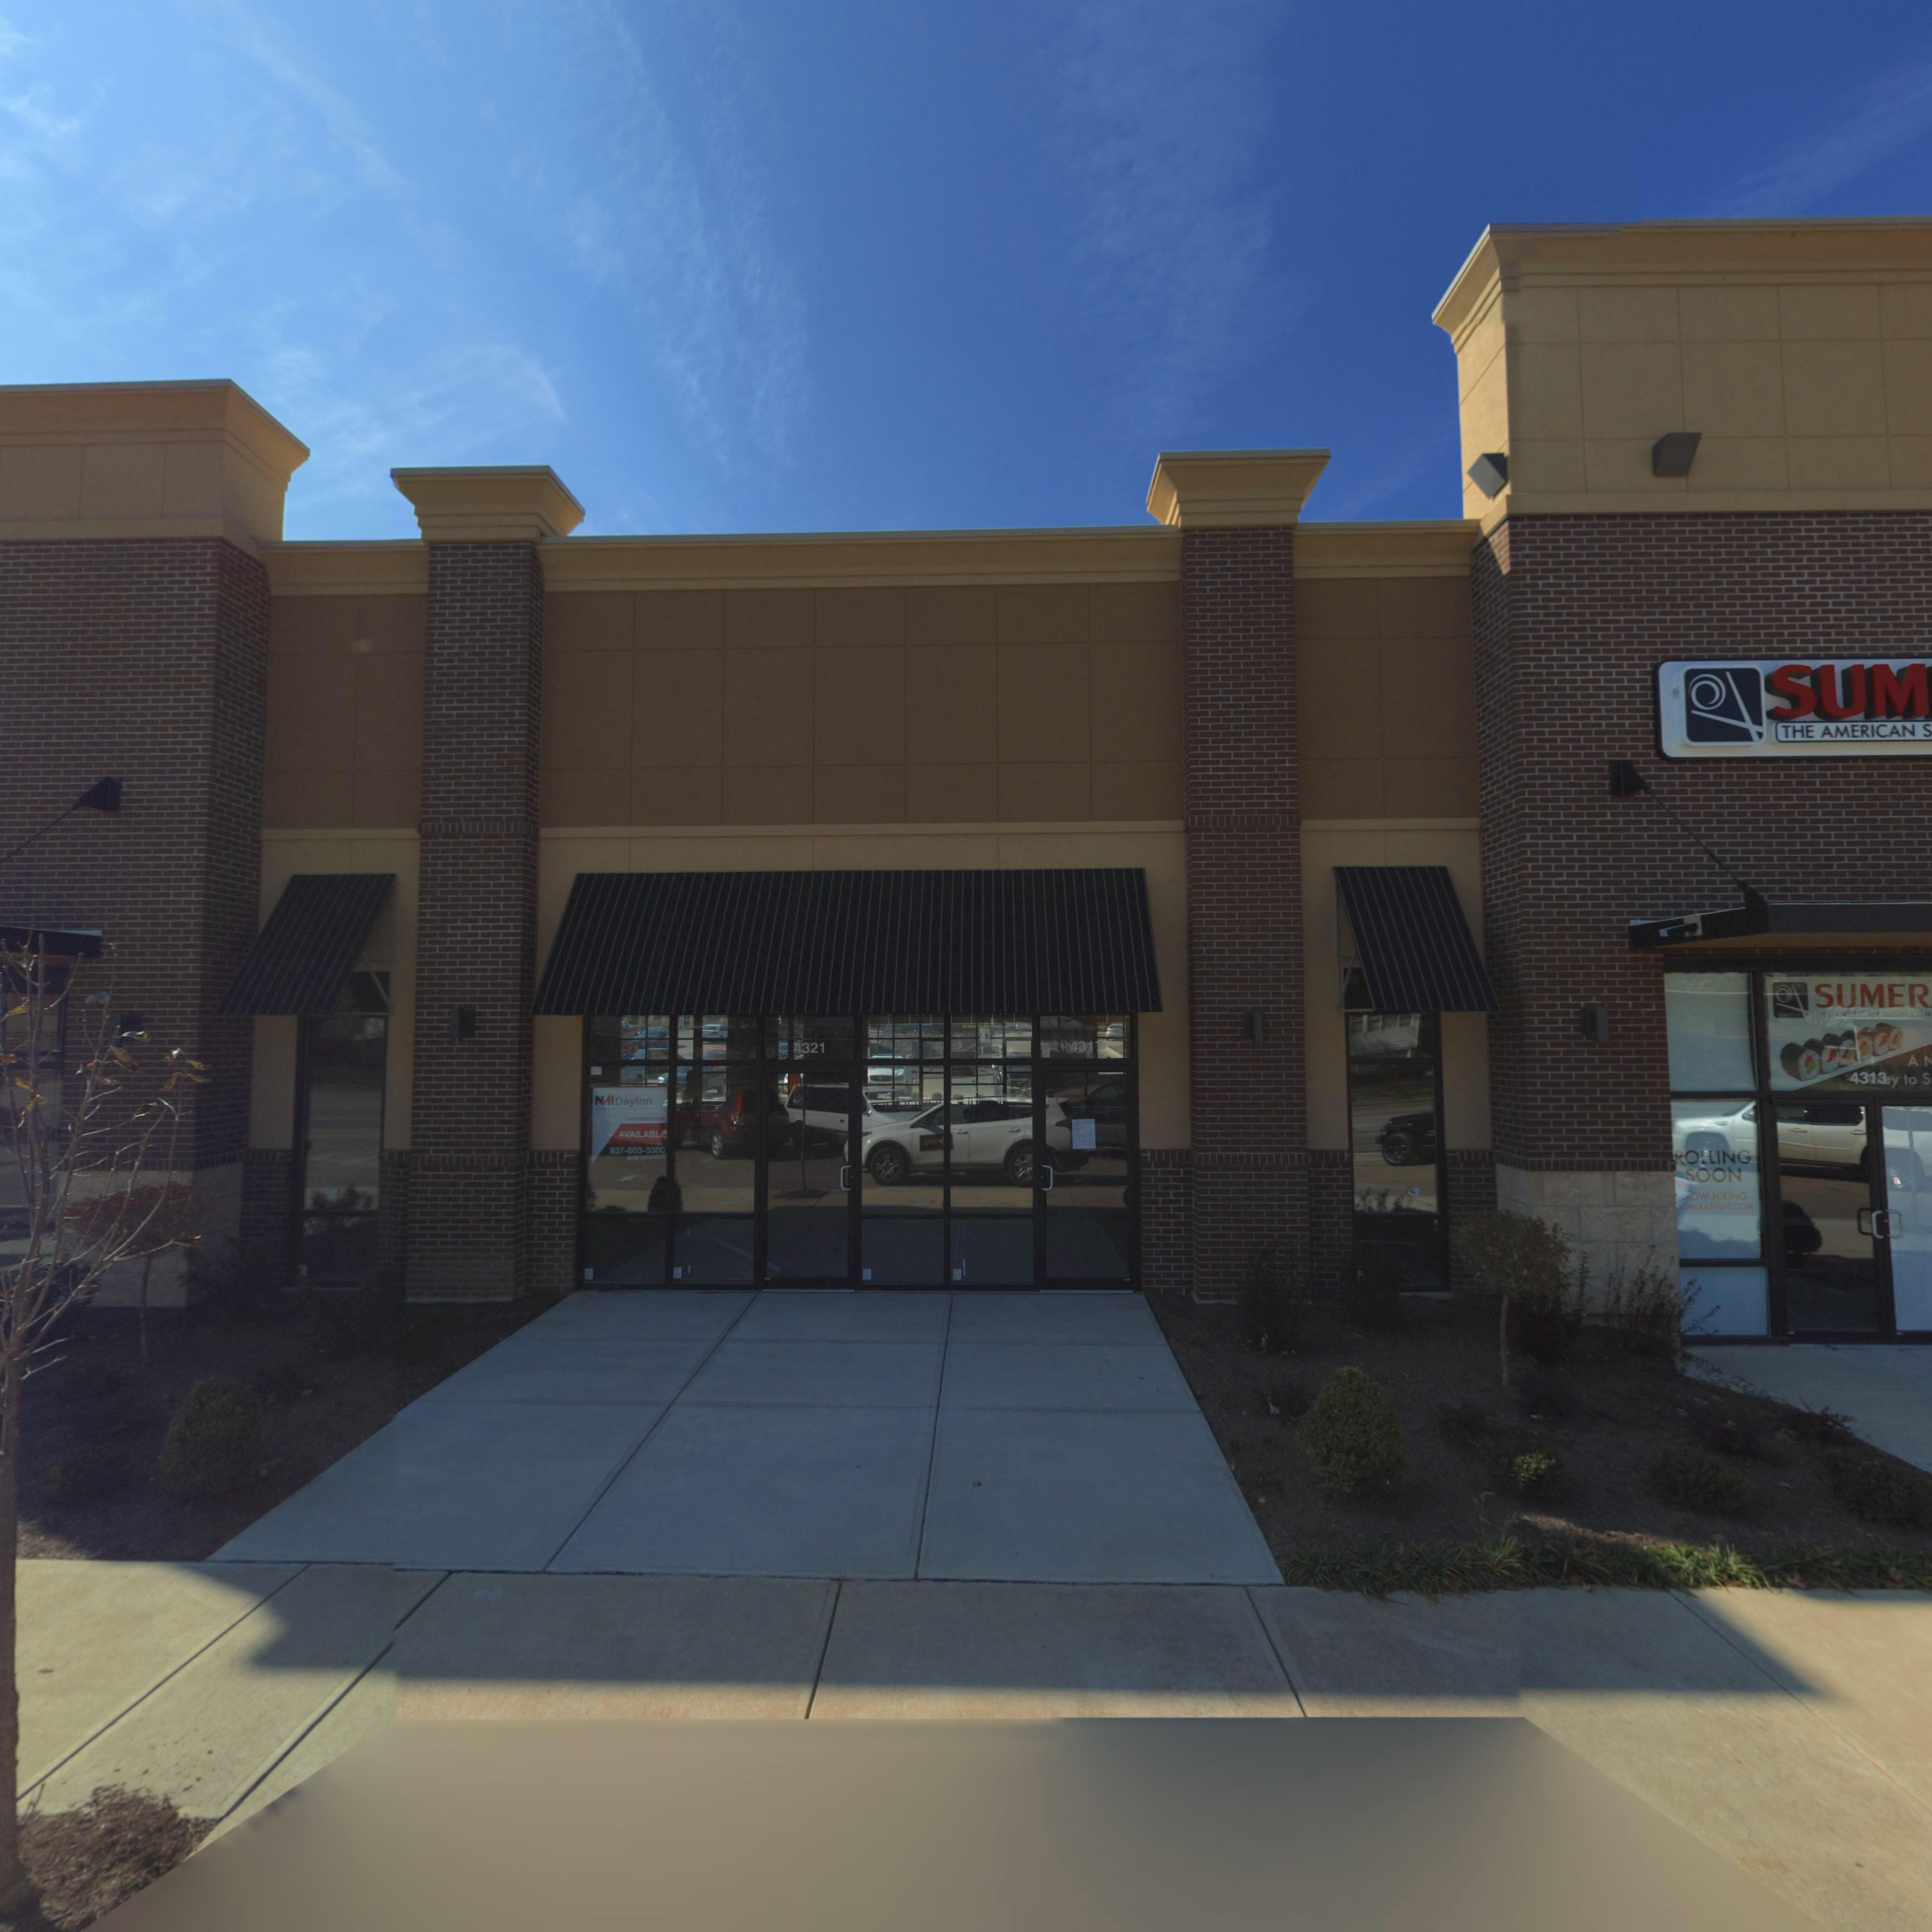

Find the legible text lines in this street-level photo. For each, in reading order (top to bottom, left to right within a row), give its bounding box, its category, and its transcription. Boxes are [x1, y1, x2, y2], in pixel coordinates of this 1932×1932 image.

[1770, 661, 1930, 720] BusinessName: SUM
[1778, 723, 1932, 740] BusinessName: THE AMERICAN S
[1814, 982, 1932, 1009] BusinessName: SUMER
[1881, 1009, 1925, 1018] BusinessName: SUSHI.CO
[792, 1041, 826, 1055] StreetNumber: 4321
[1069, 1040, 1104, 1053] StreetNumber: 4317
[1848, 1070, 1888, 1085] StreetNumber: 43**